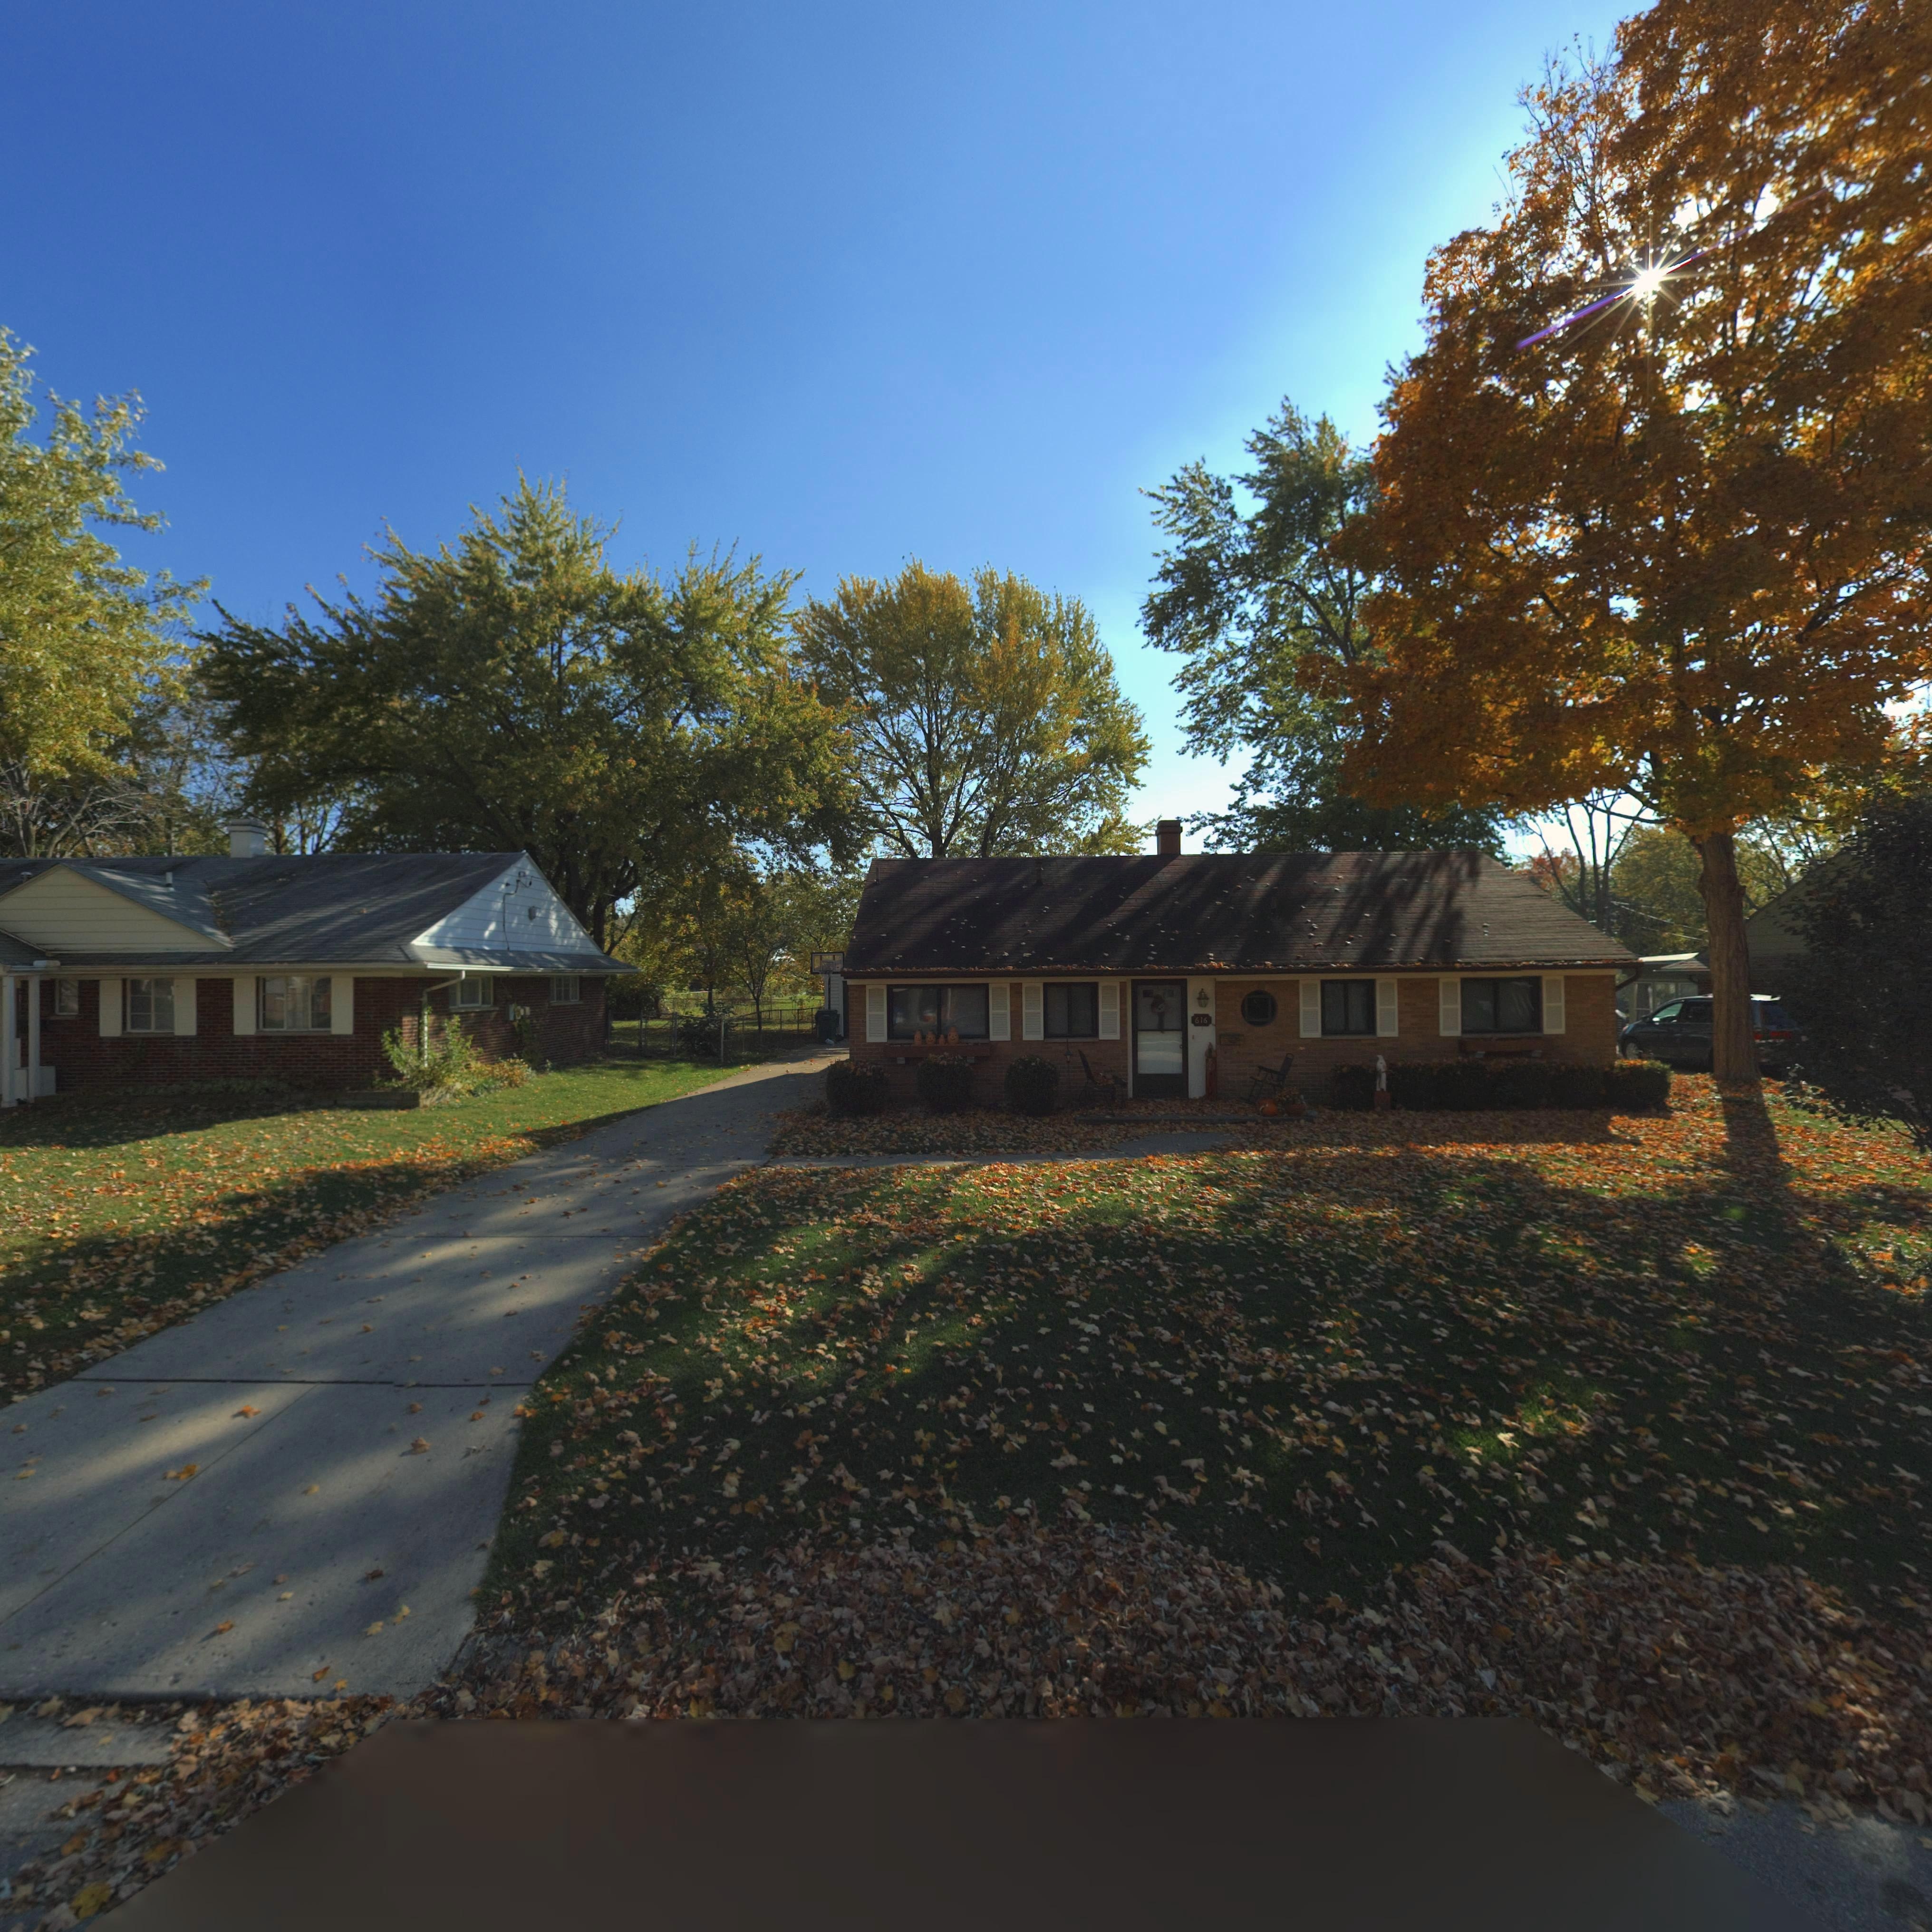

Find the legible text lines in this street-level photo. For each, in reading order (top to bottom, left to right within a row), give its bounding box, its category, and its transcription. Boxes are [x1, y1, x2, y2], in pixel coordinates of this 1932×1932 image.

[1194, 1016, 1208, 1024] StreetNumber: 616